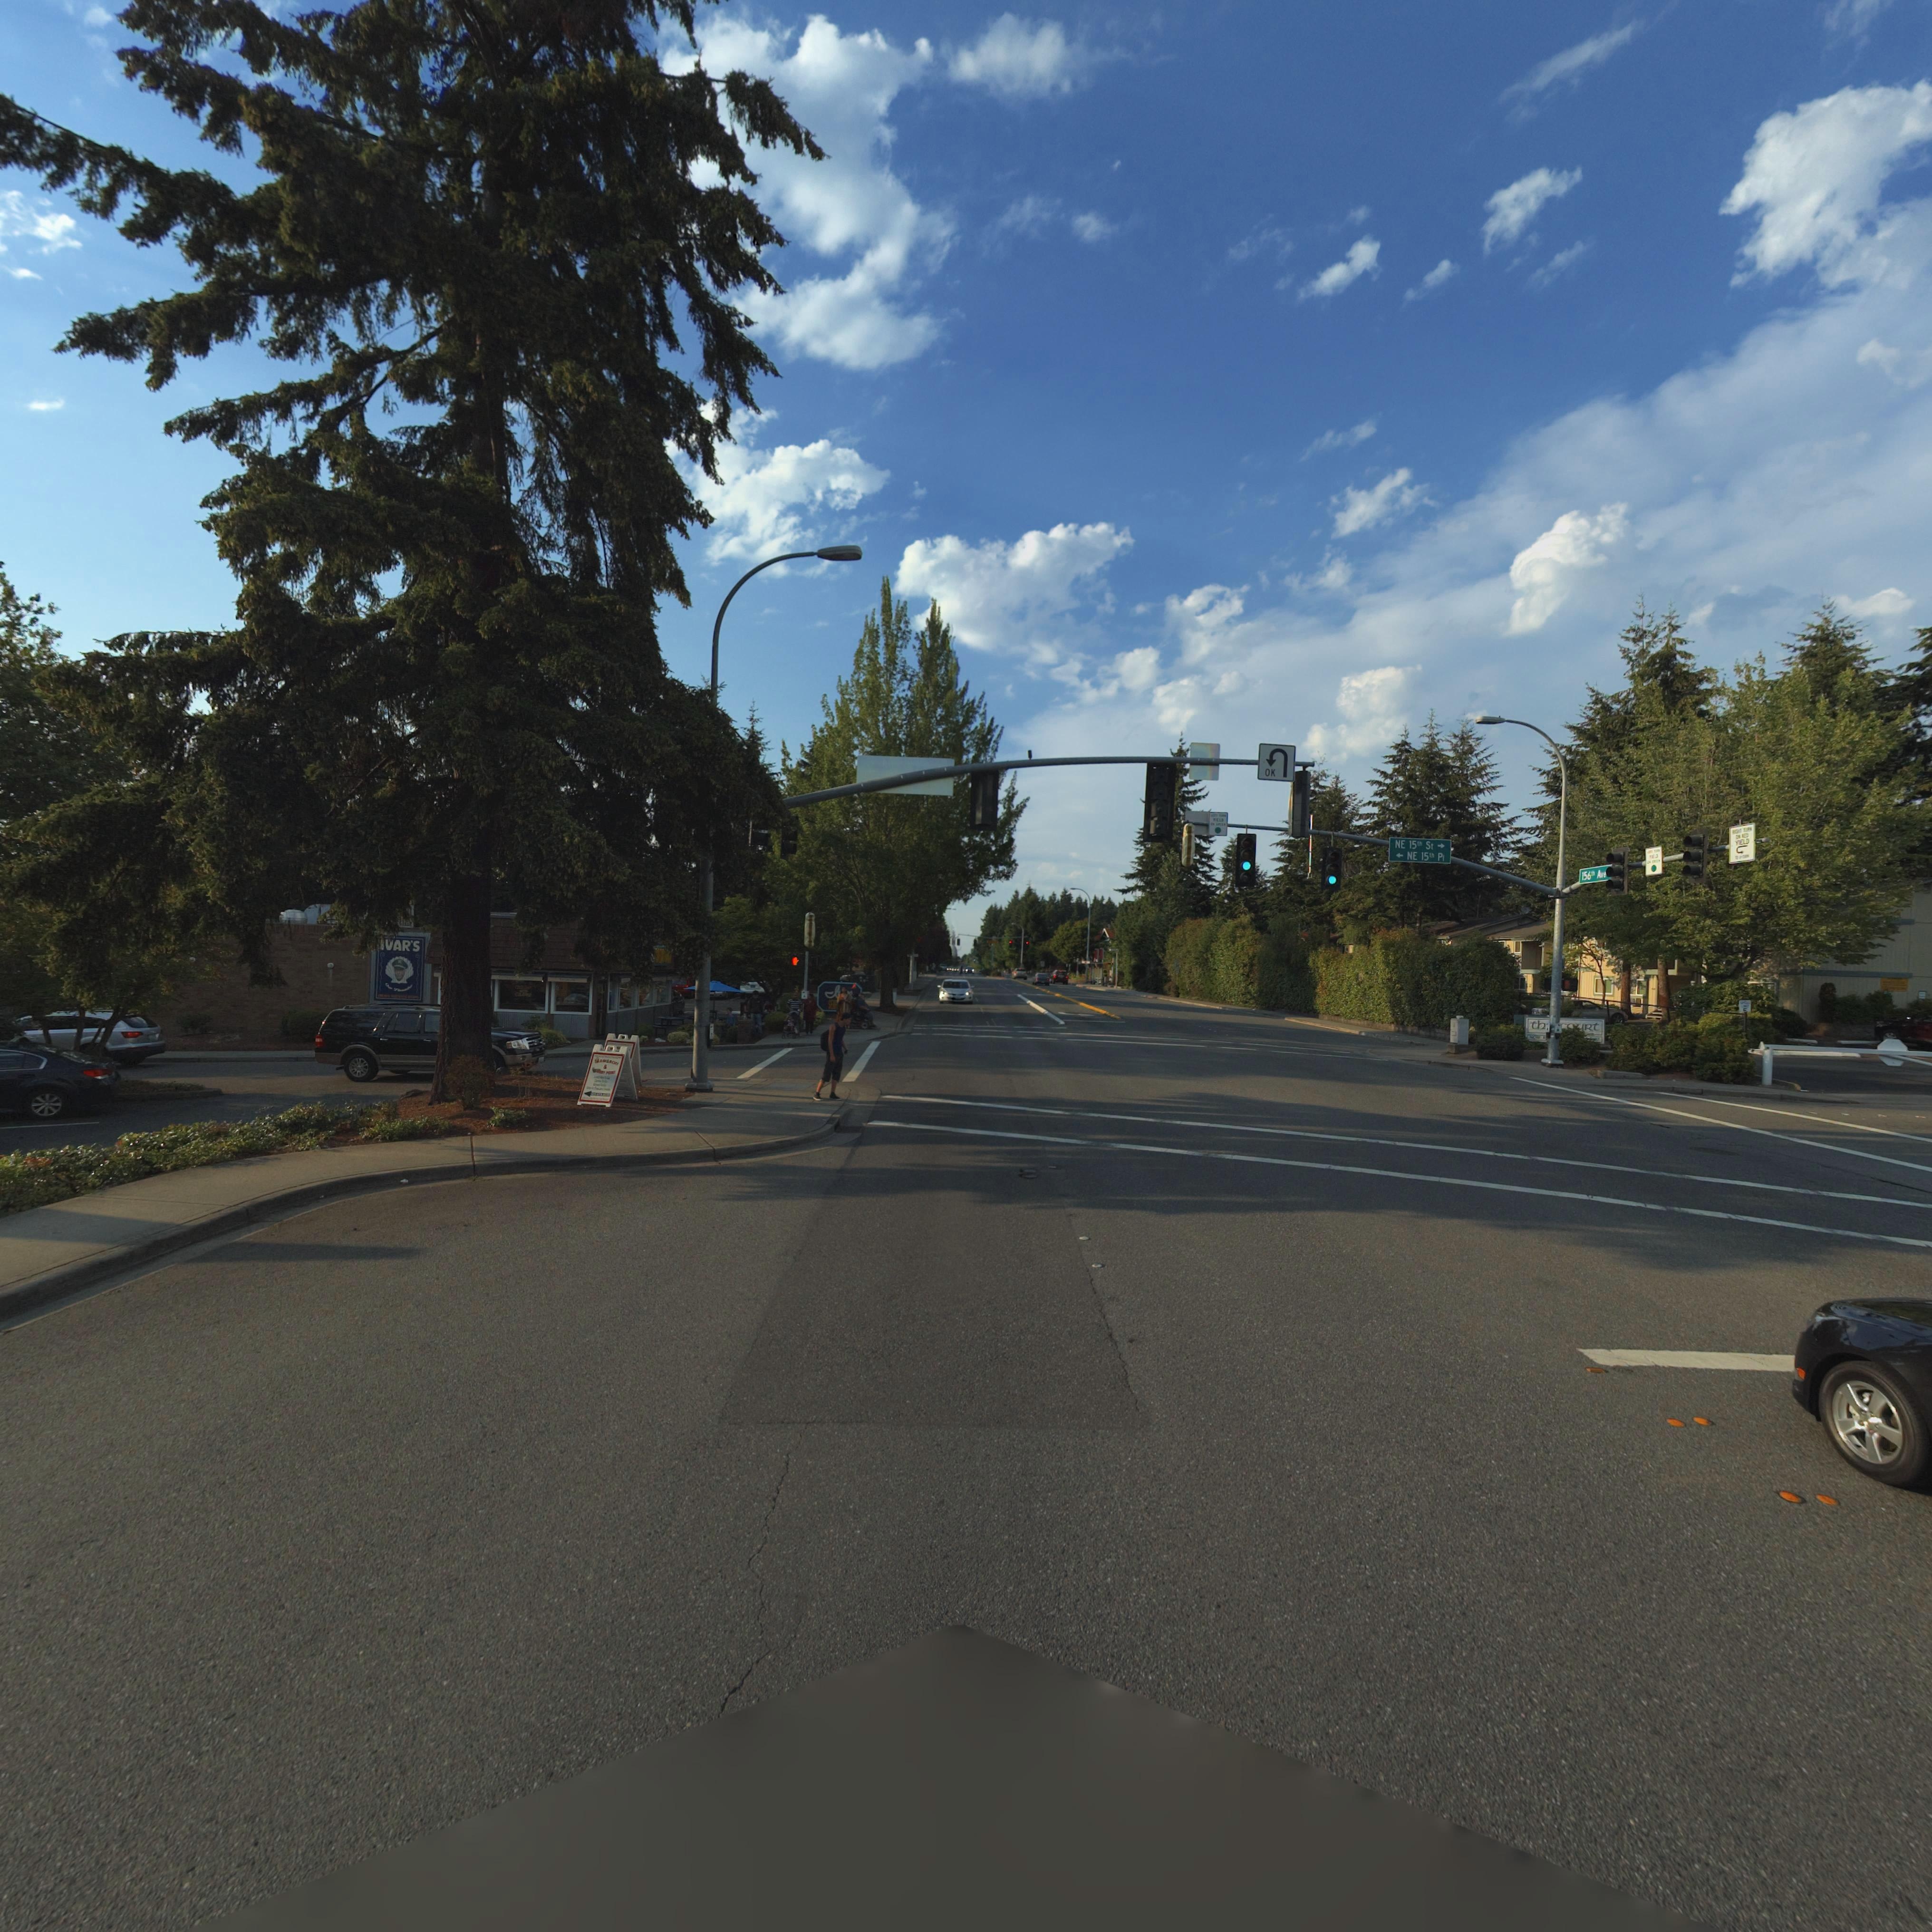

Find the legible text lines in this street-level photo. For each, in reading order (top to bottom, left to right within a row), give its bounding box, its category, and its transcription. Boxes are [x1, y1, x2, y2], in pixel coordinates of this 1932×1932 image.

[1394, 839, 1434, 850] StreetName: NE 15th St
[1407, 850, 1445, 862] StreetName: NE 15th Pl
[1581, 869, 1605, 880] StreetName: 156** A**
[385, 939, 420, 952] BusinessName: VAR*S